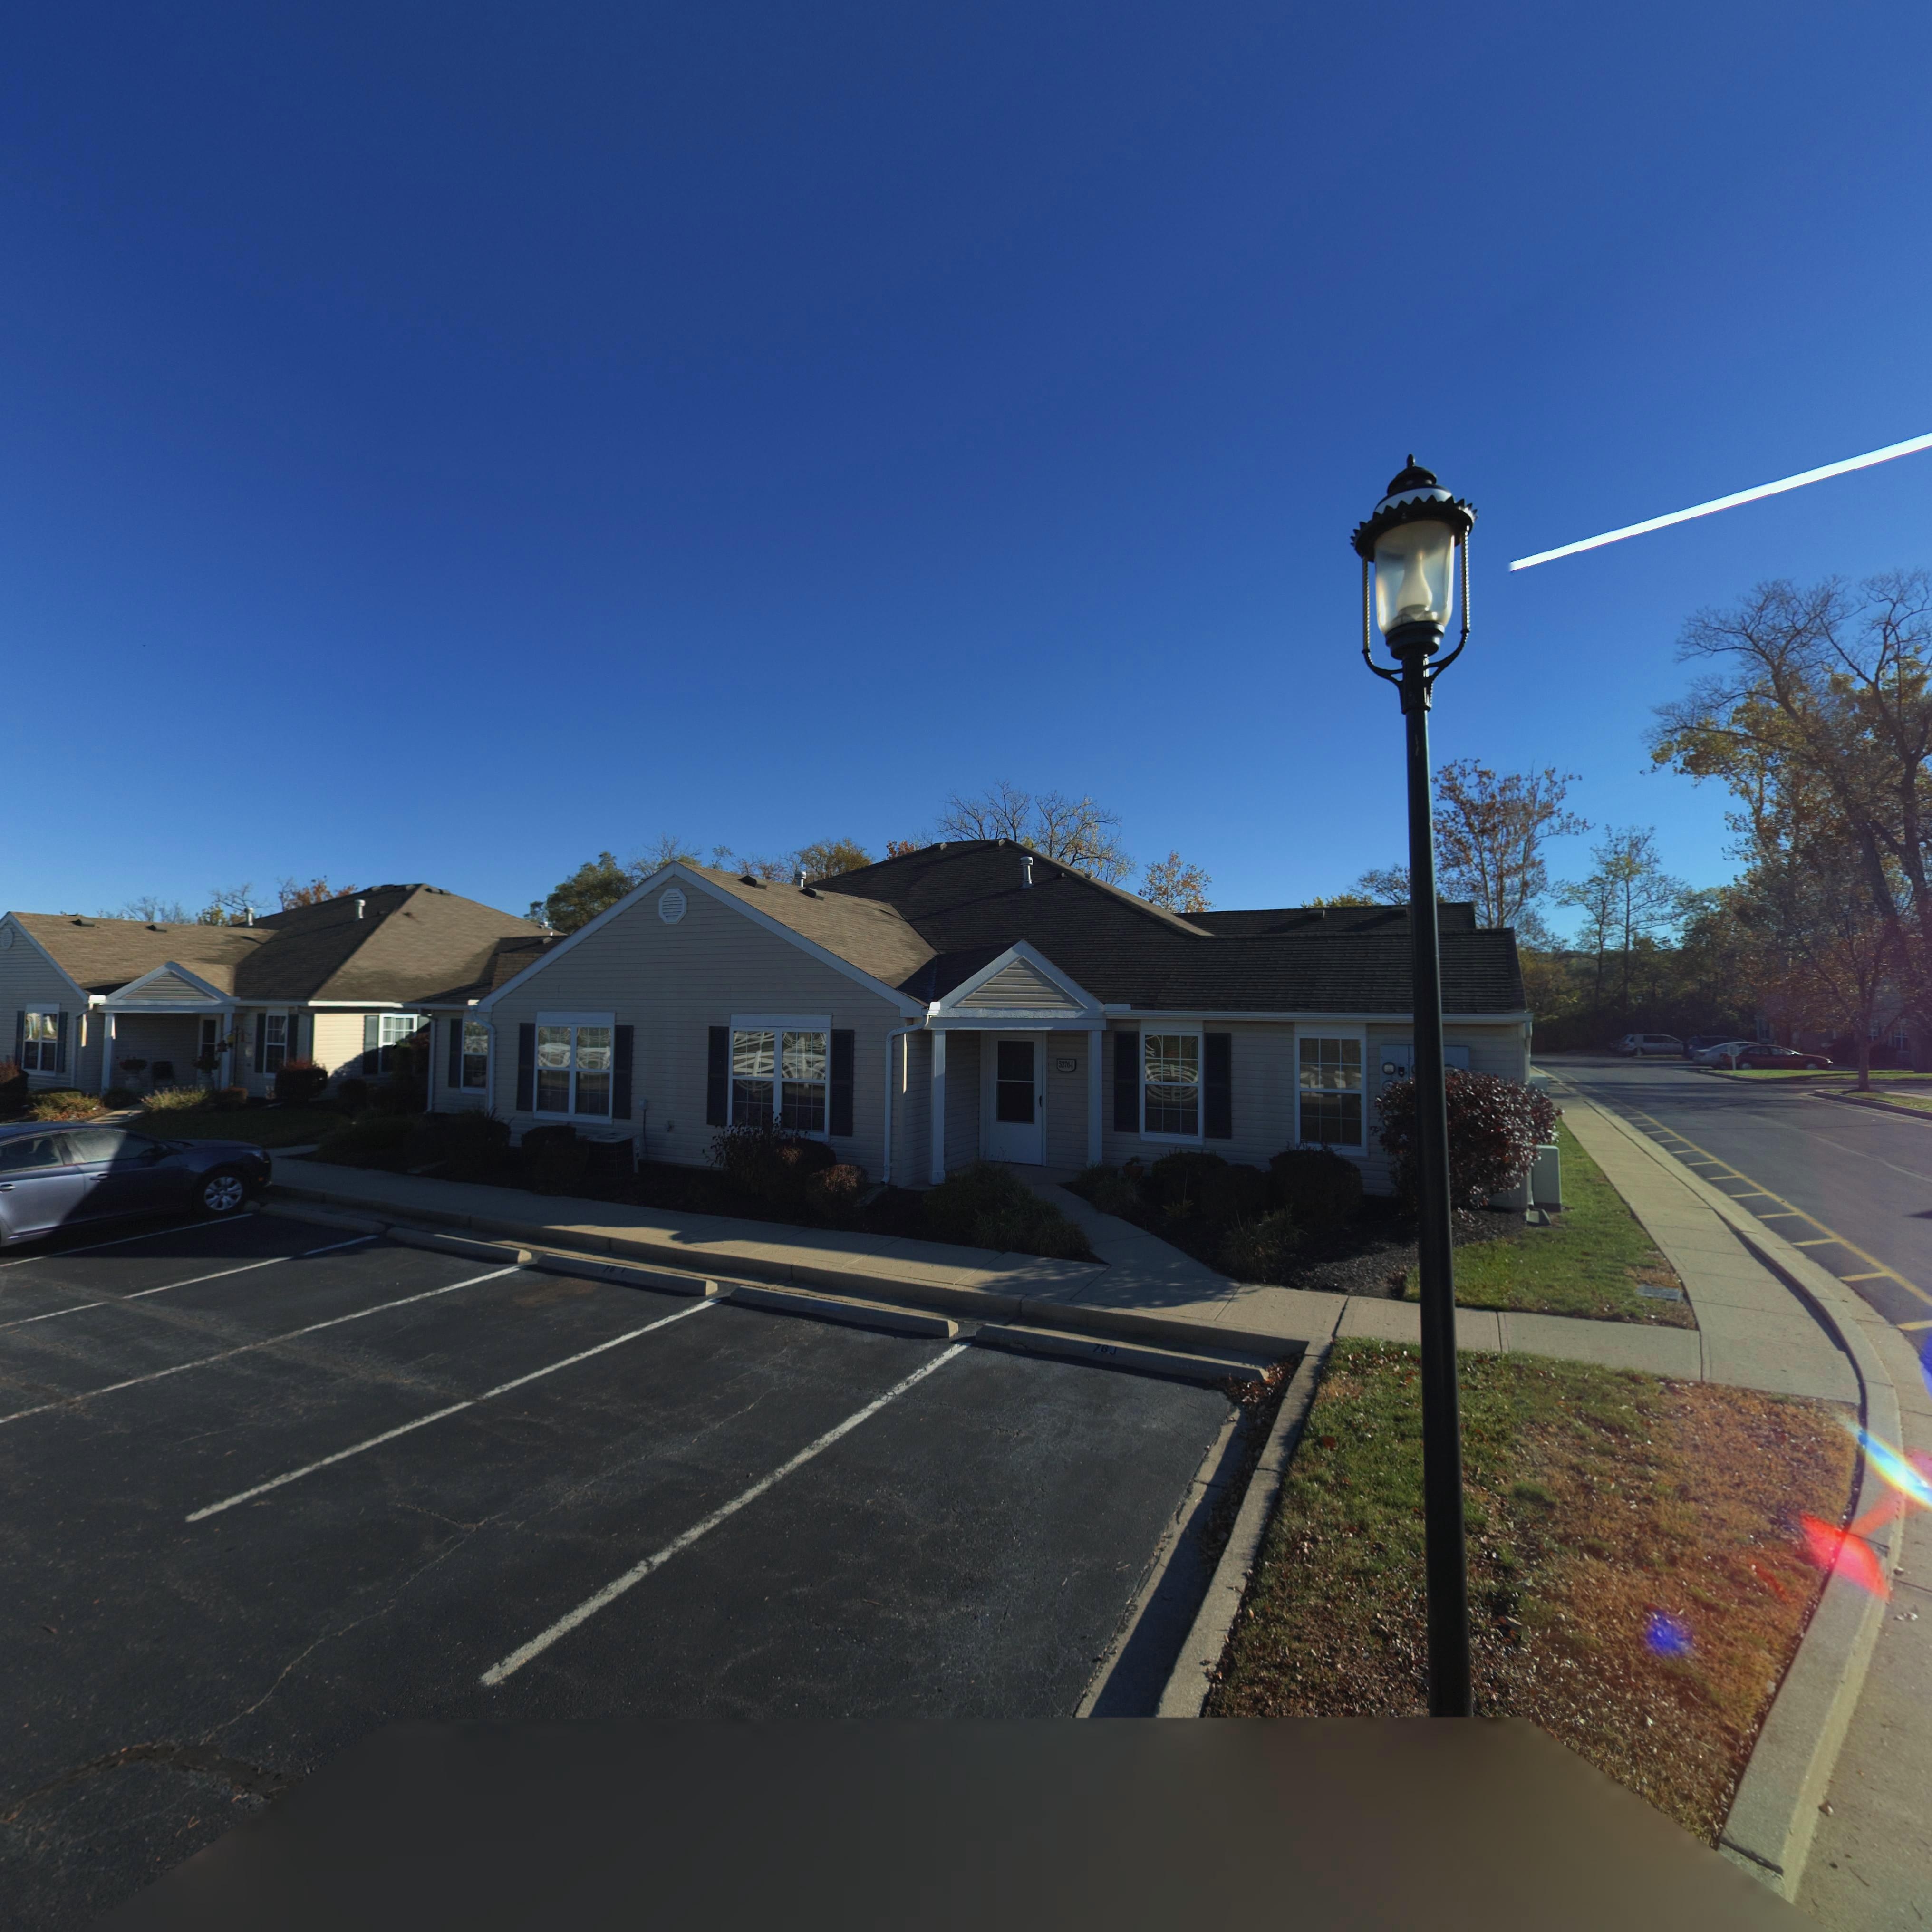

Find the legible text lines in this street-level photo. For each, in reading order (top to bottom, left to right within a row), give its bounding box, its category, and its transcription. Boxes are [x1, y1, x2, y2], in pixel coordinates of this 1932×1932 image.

[1058, 1060, 1073, 1069] StreetNumber: 5276-I